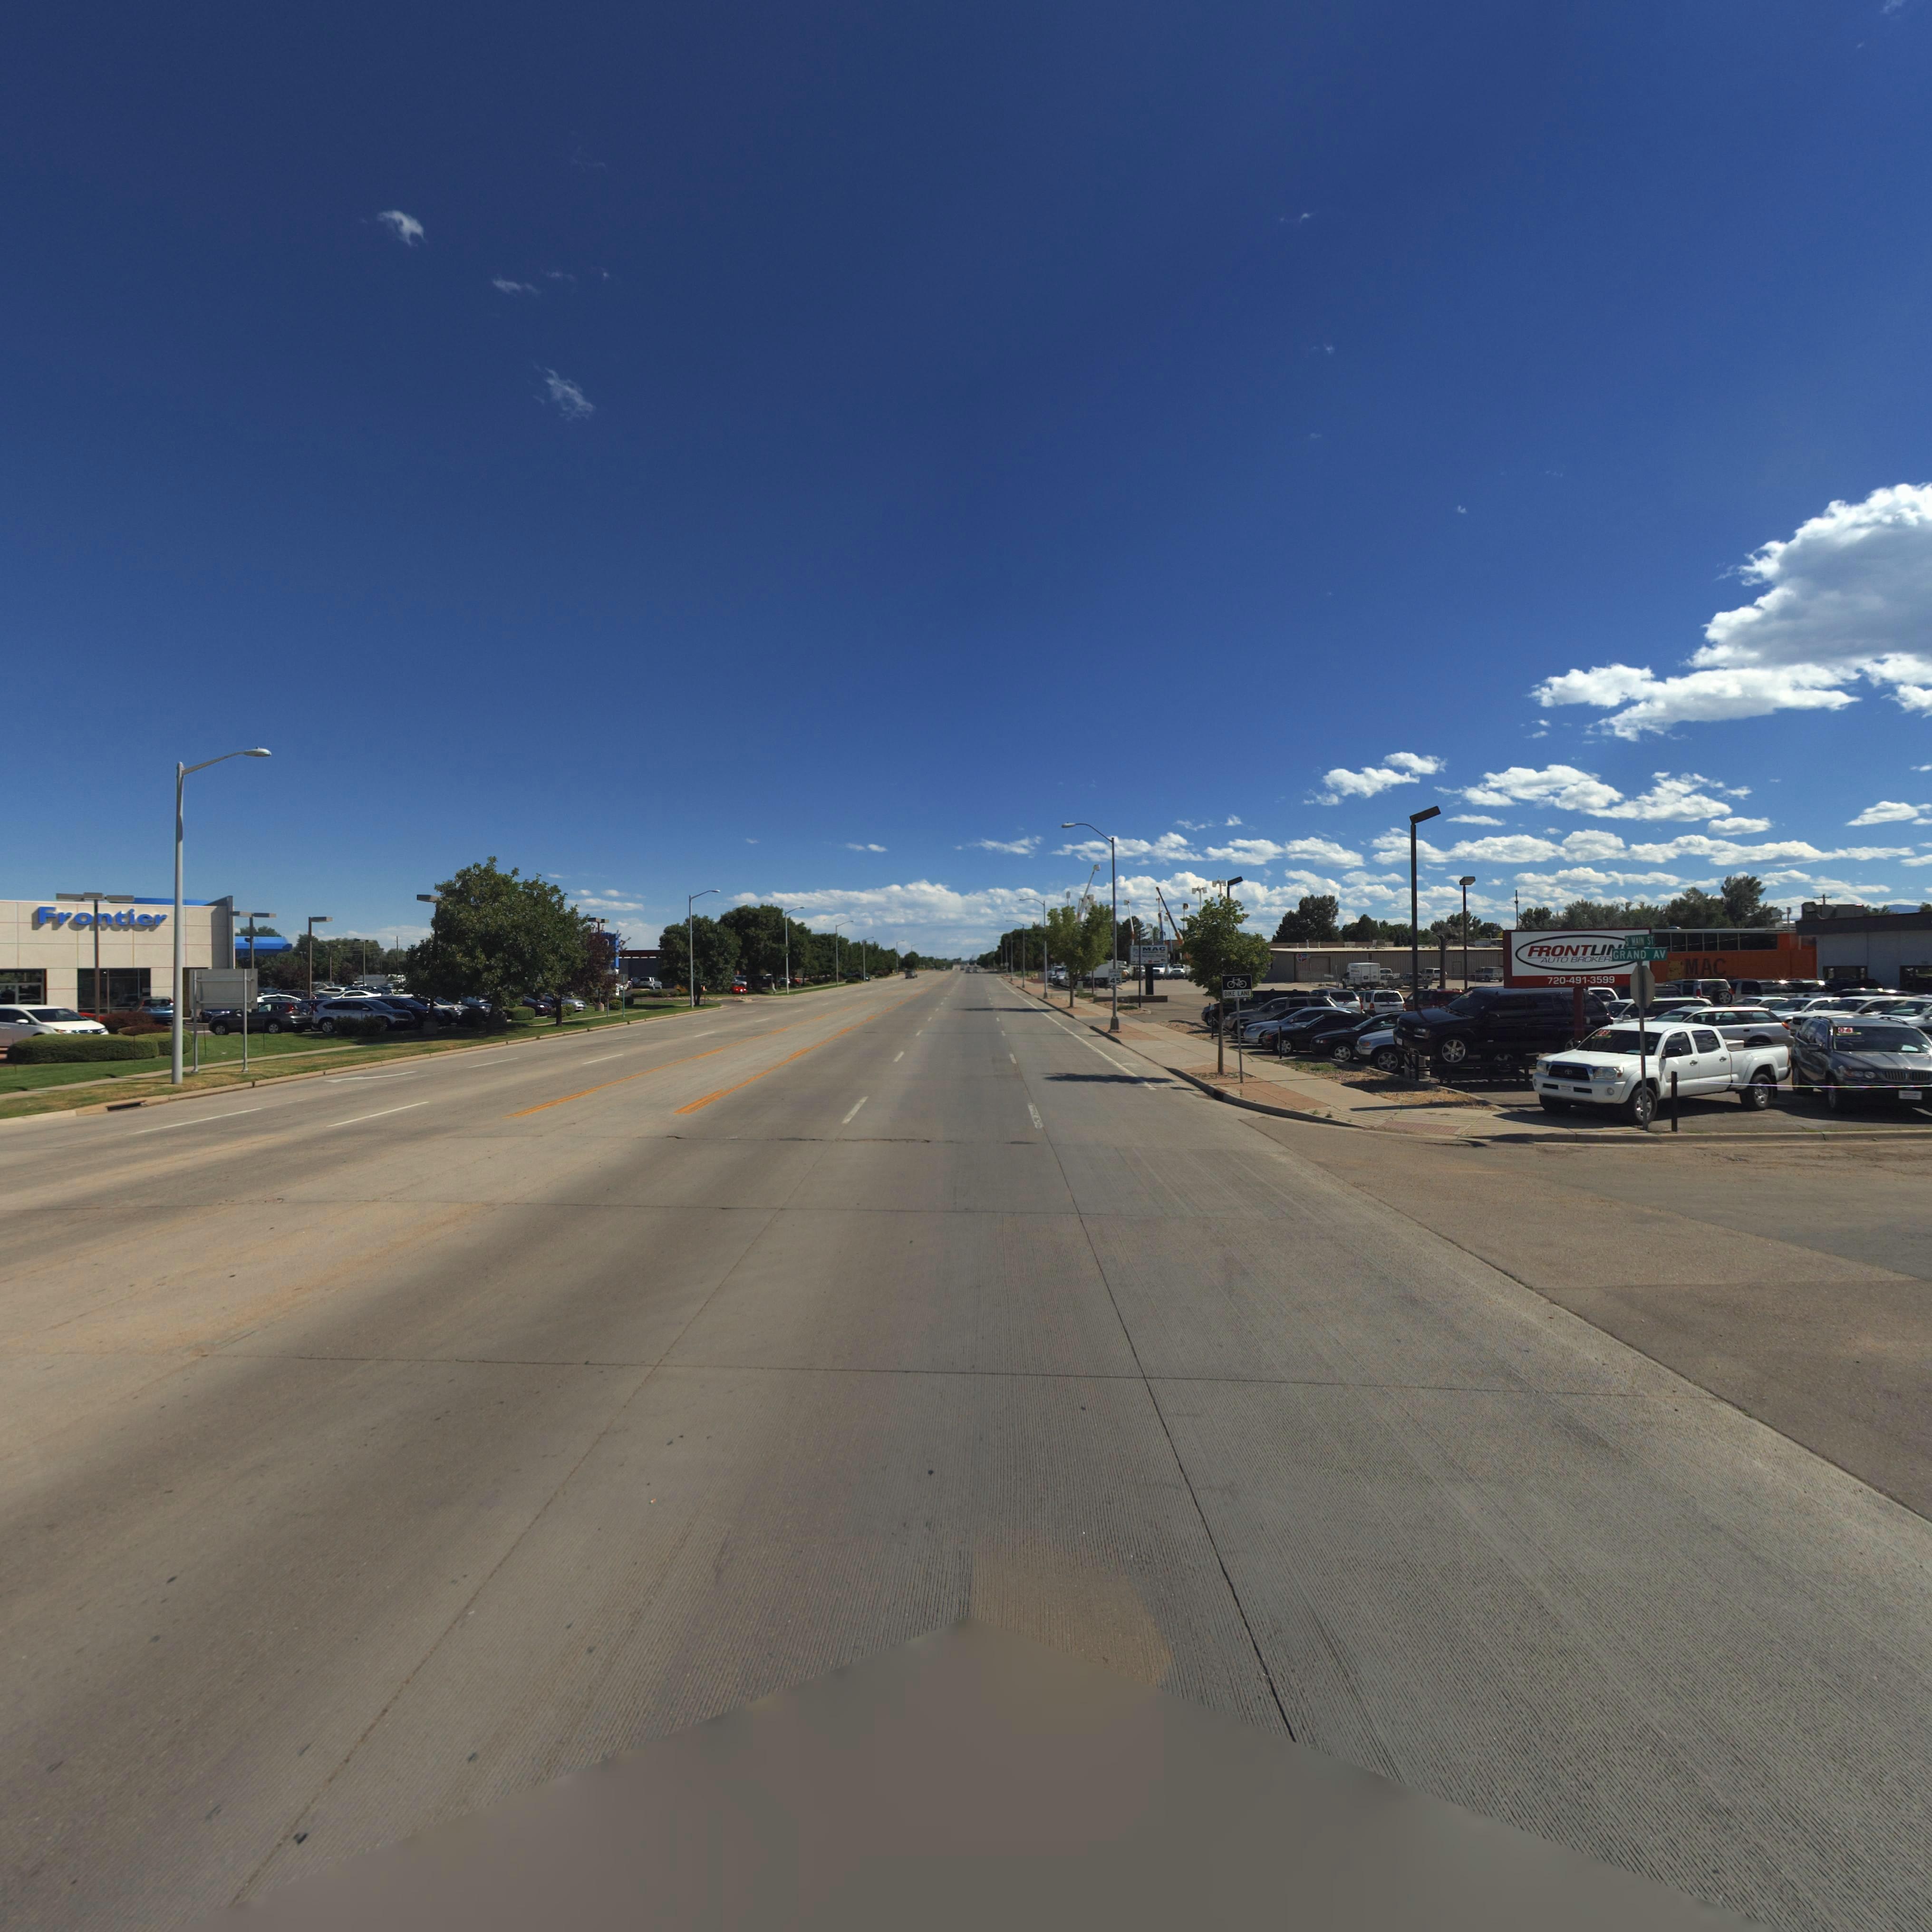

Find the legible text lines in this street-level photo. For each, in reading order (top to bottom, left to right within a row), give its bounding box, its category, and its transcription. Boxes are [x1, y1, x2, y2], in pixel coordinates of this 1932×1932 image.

[1625, 935, 1655, 947] StreetName: S MAIN ST
[1142, 947, 1165, 951] BusinessName: MAC
[1296, 955, 1311, 958] BusinessName: *** ****T
[1539, 955, 1619, 963] BusinessName: AUTO BROKER*
[1526, 943, 1634, 957] StreetNumber: FRONTLI**
[1612, 949, 1667, 960] StreetName: GRAND AV
[1684, 957, 1727, 976] BusinessName: MAC